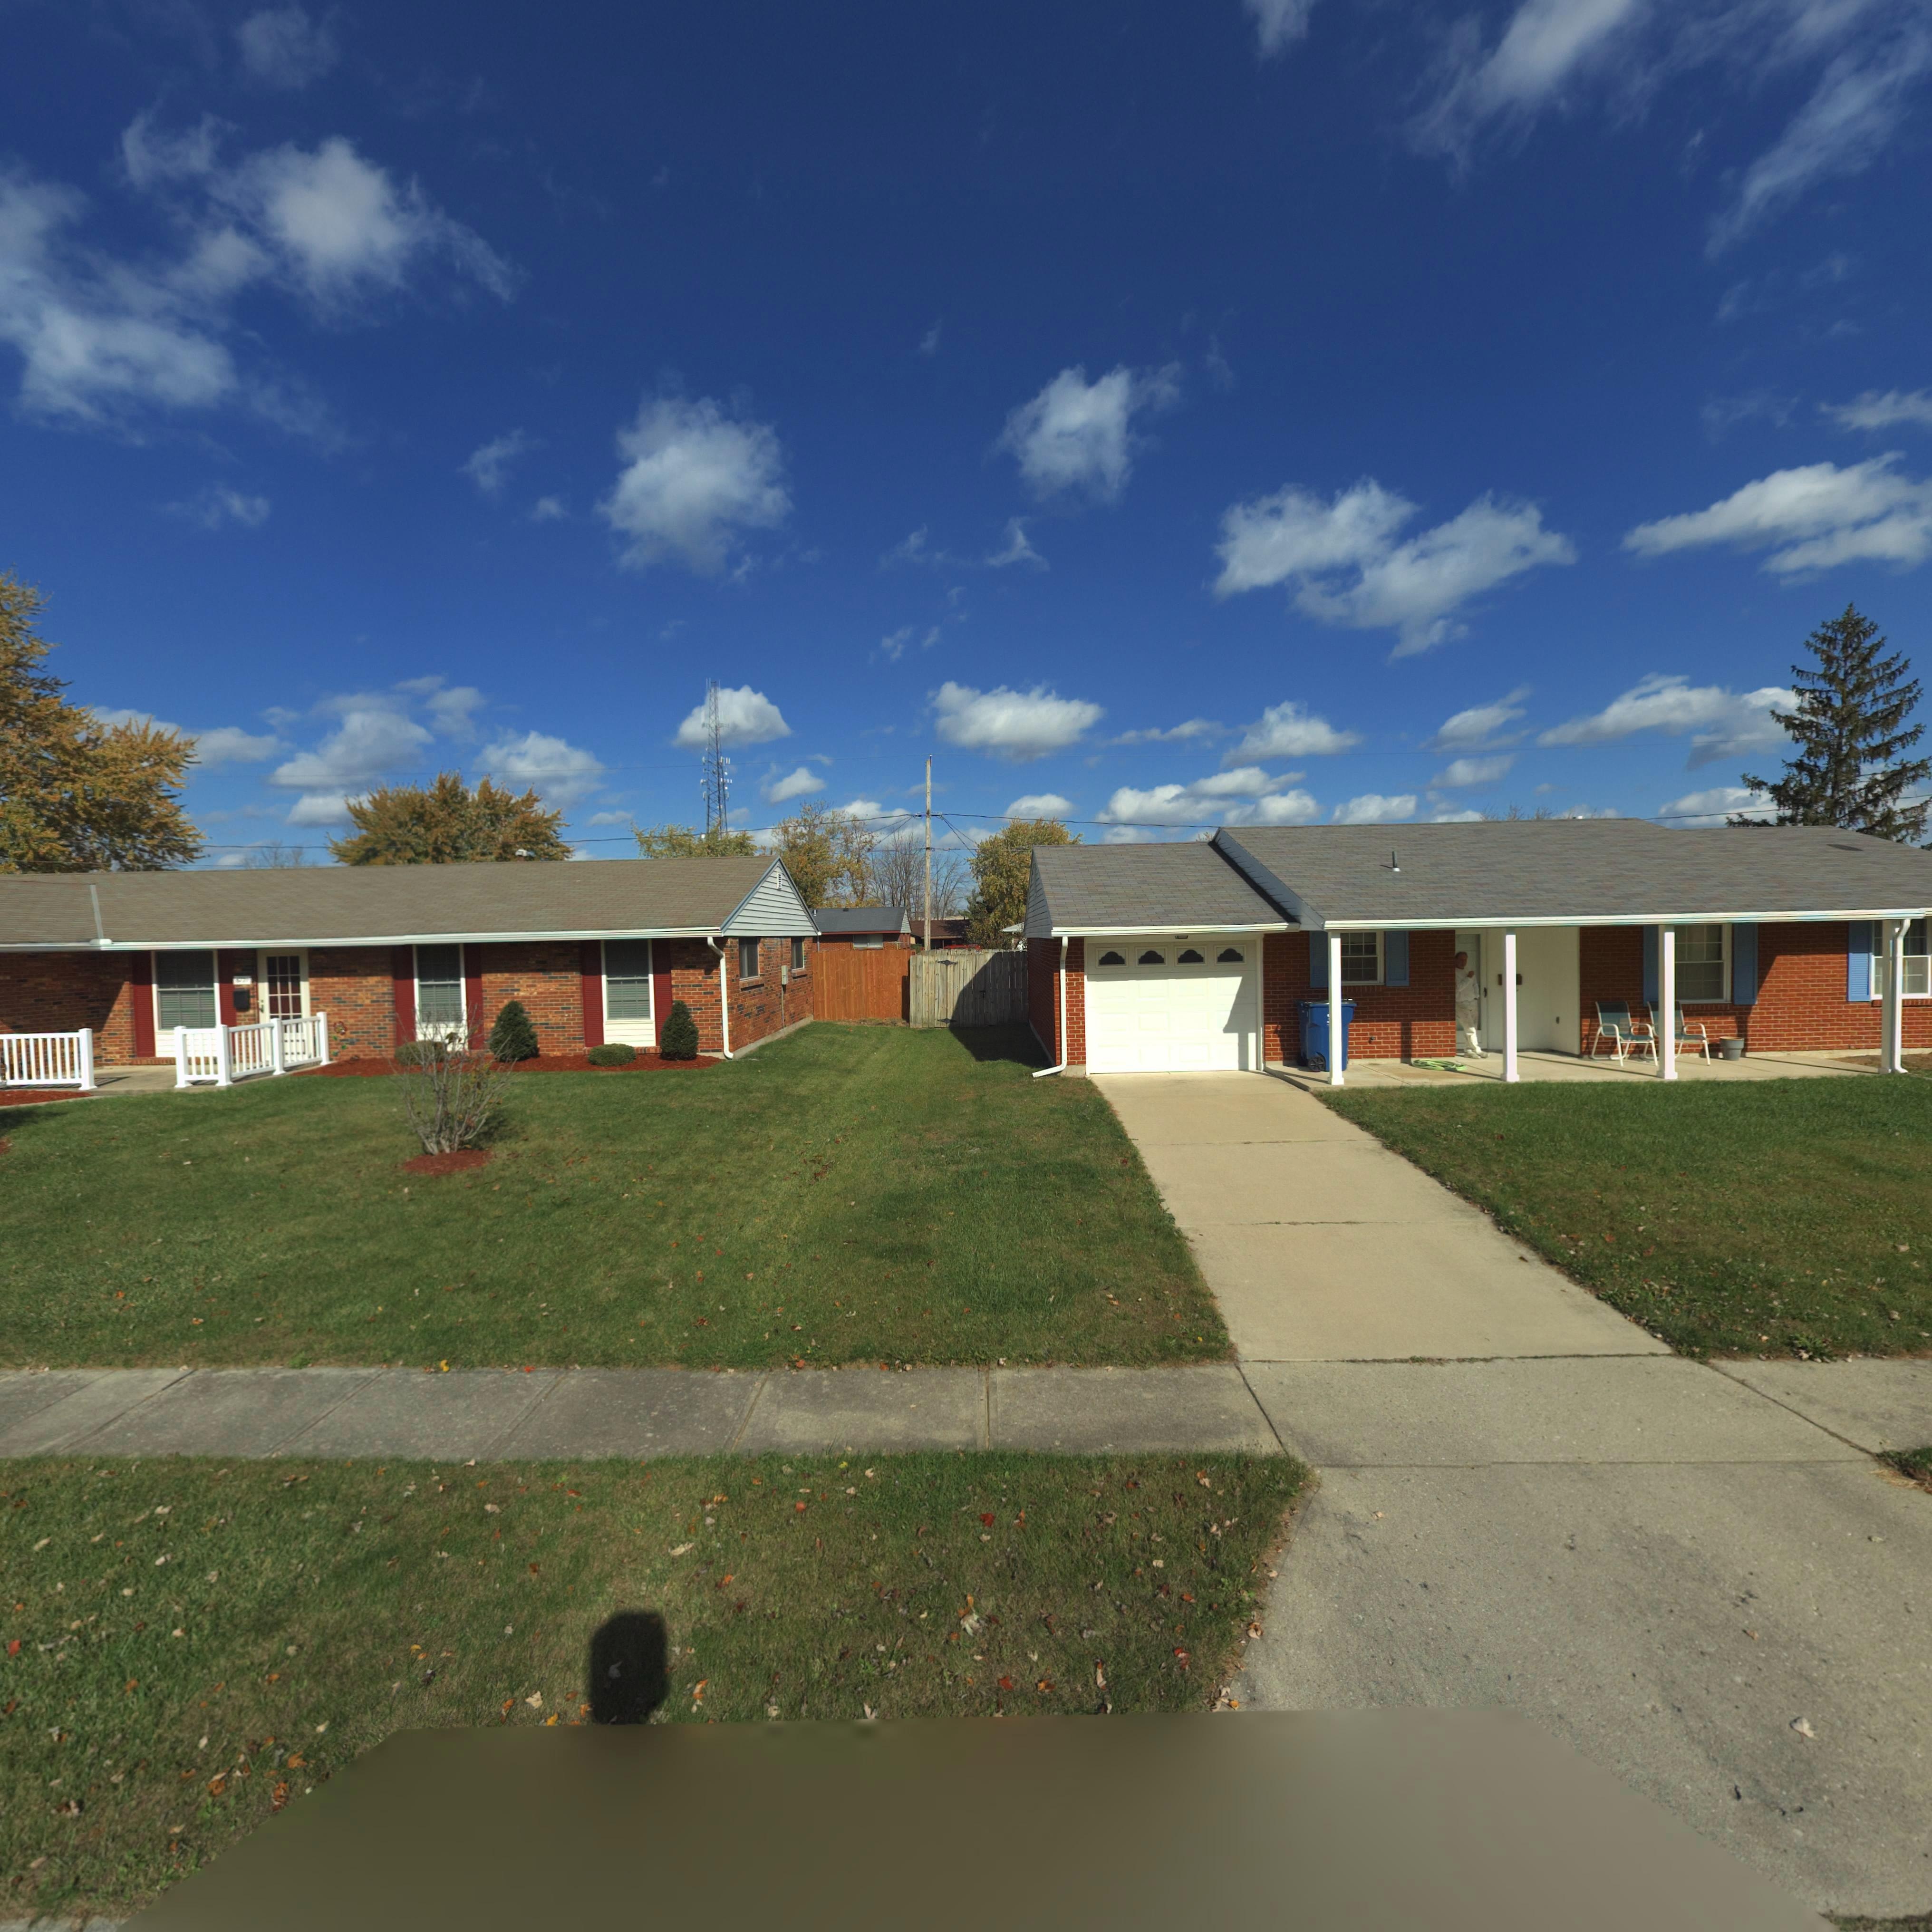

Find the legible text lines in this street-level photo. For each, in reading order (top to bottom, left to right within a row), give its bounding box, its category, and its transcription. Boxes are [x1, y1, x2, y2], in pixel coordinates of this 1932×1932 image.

[235, 977, 250, 983] StreetNumber: 67**